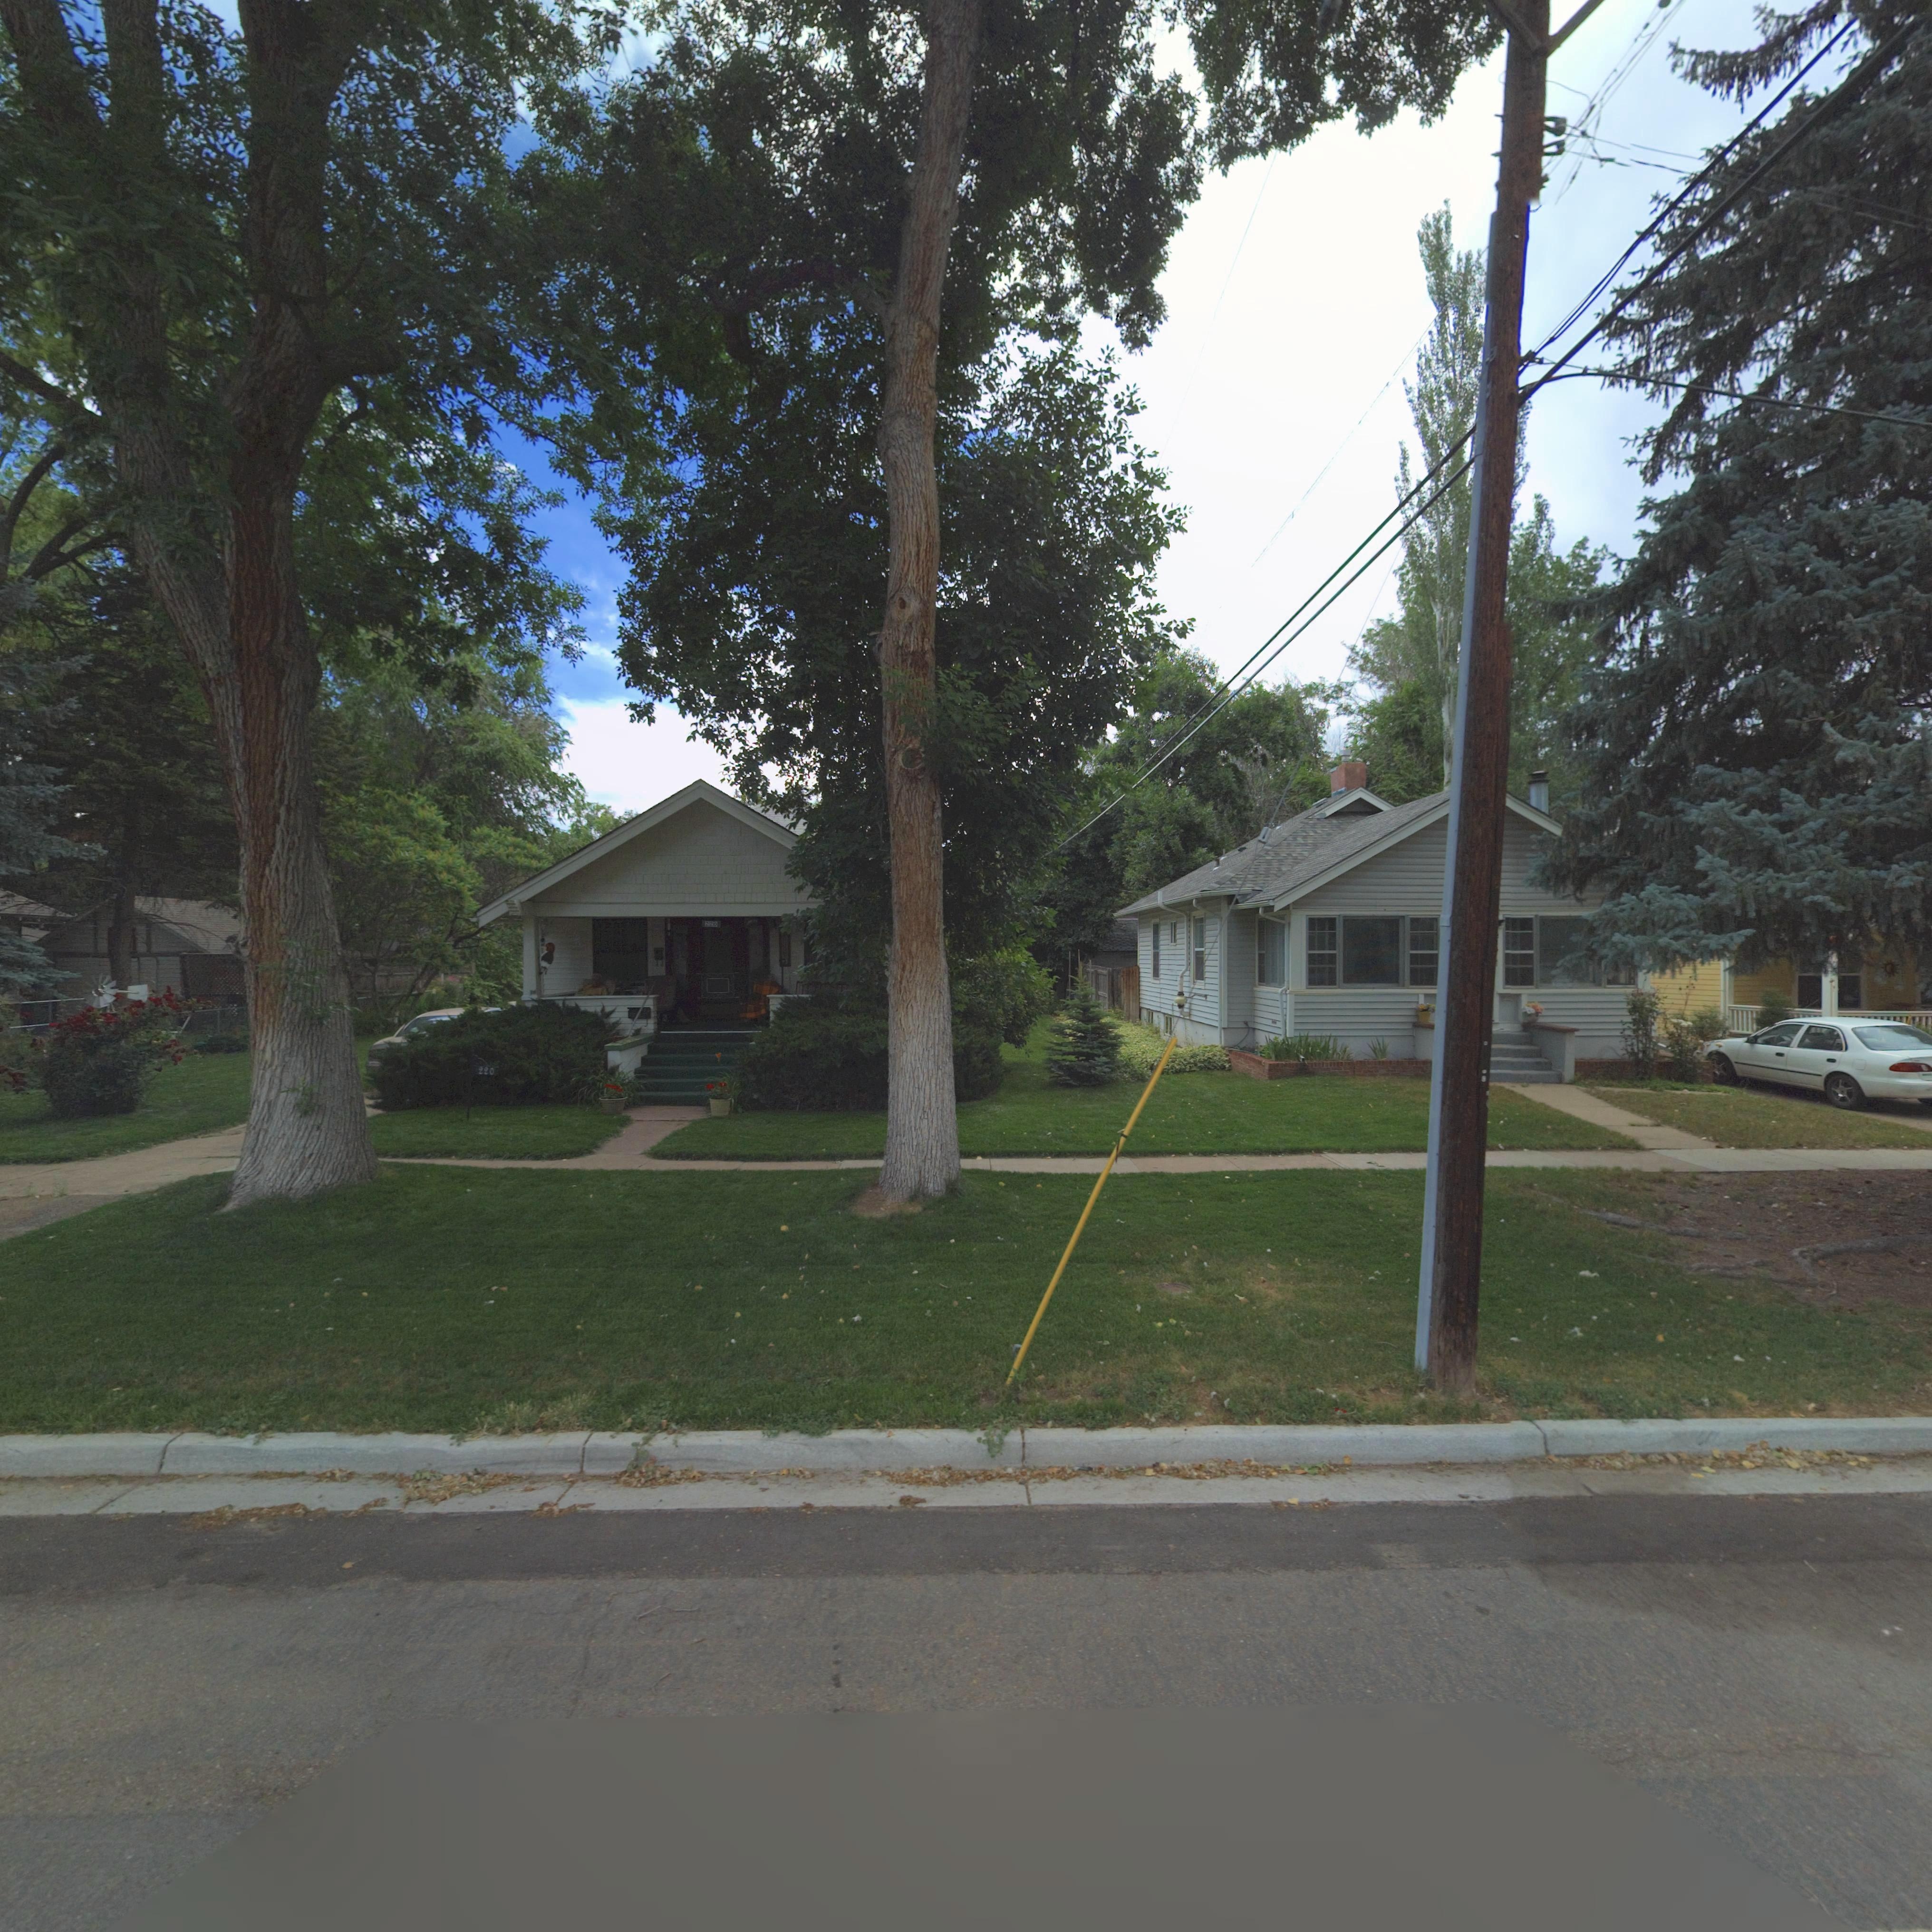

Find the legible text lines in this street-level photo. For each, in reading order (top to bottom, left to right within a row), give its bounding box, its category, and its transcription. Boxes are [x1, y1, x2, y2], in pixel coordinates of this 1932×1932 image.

[705, 921, 717, 927] StreetNumber: 220
[478, 1065, 494, 1075] StreetNumber: 220